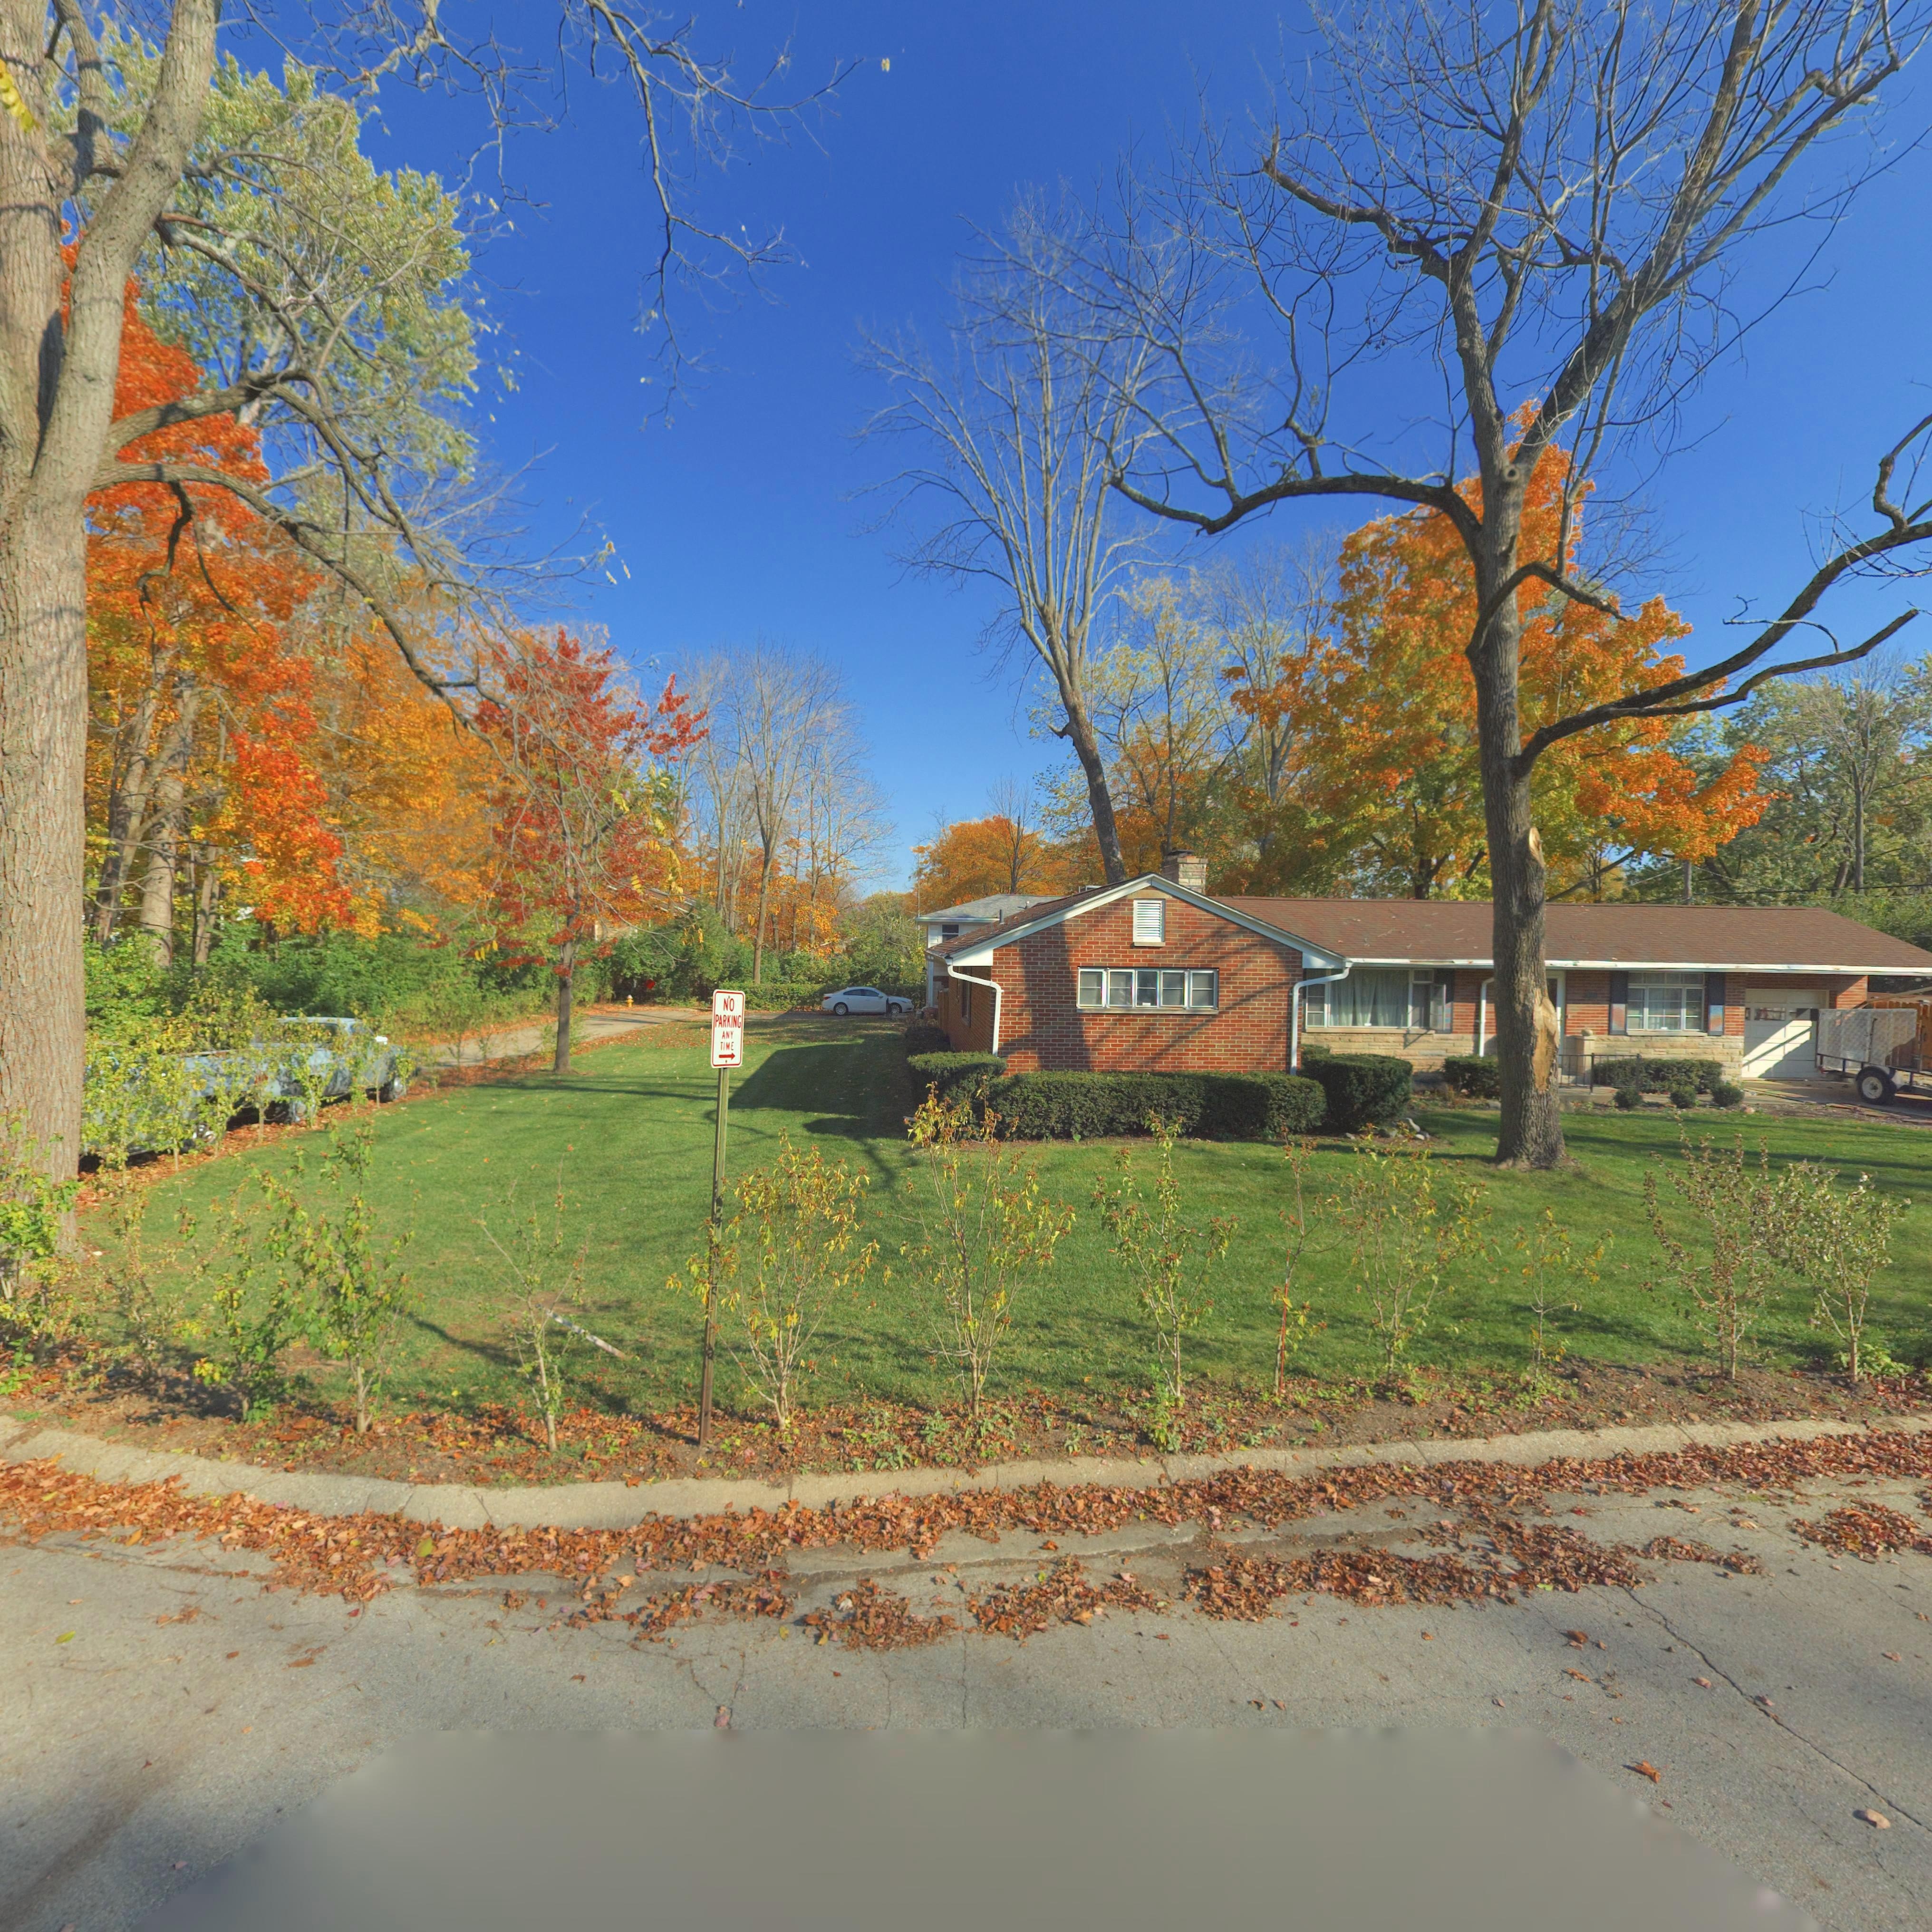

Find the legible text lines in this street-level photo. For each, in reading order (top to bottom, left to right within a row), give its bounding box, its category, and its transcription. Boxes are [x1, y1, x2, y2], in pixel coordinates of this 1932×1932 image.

[723, 997, 735, 1012] None: NO
[714, 1014, 742, 1029] None: PARKING
[721, 1030, 734, 1040] None: ANY
[719, 1041, 734, 1051] None: TIME